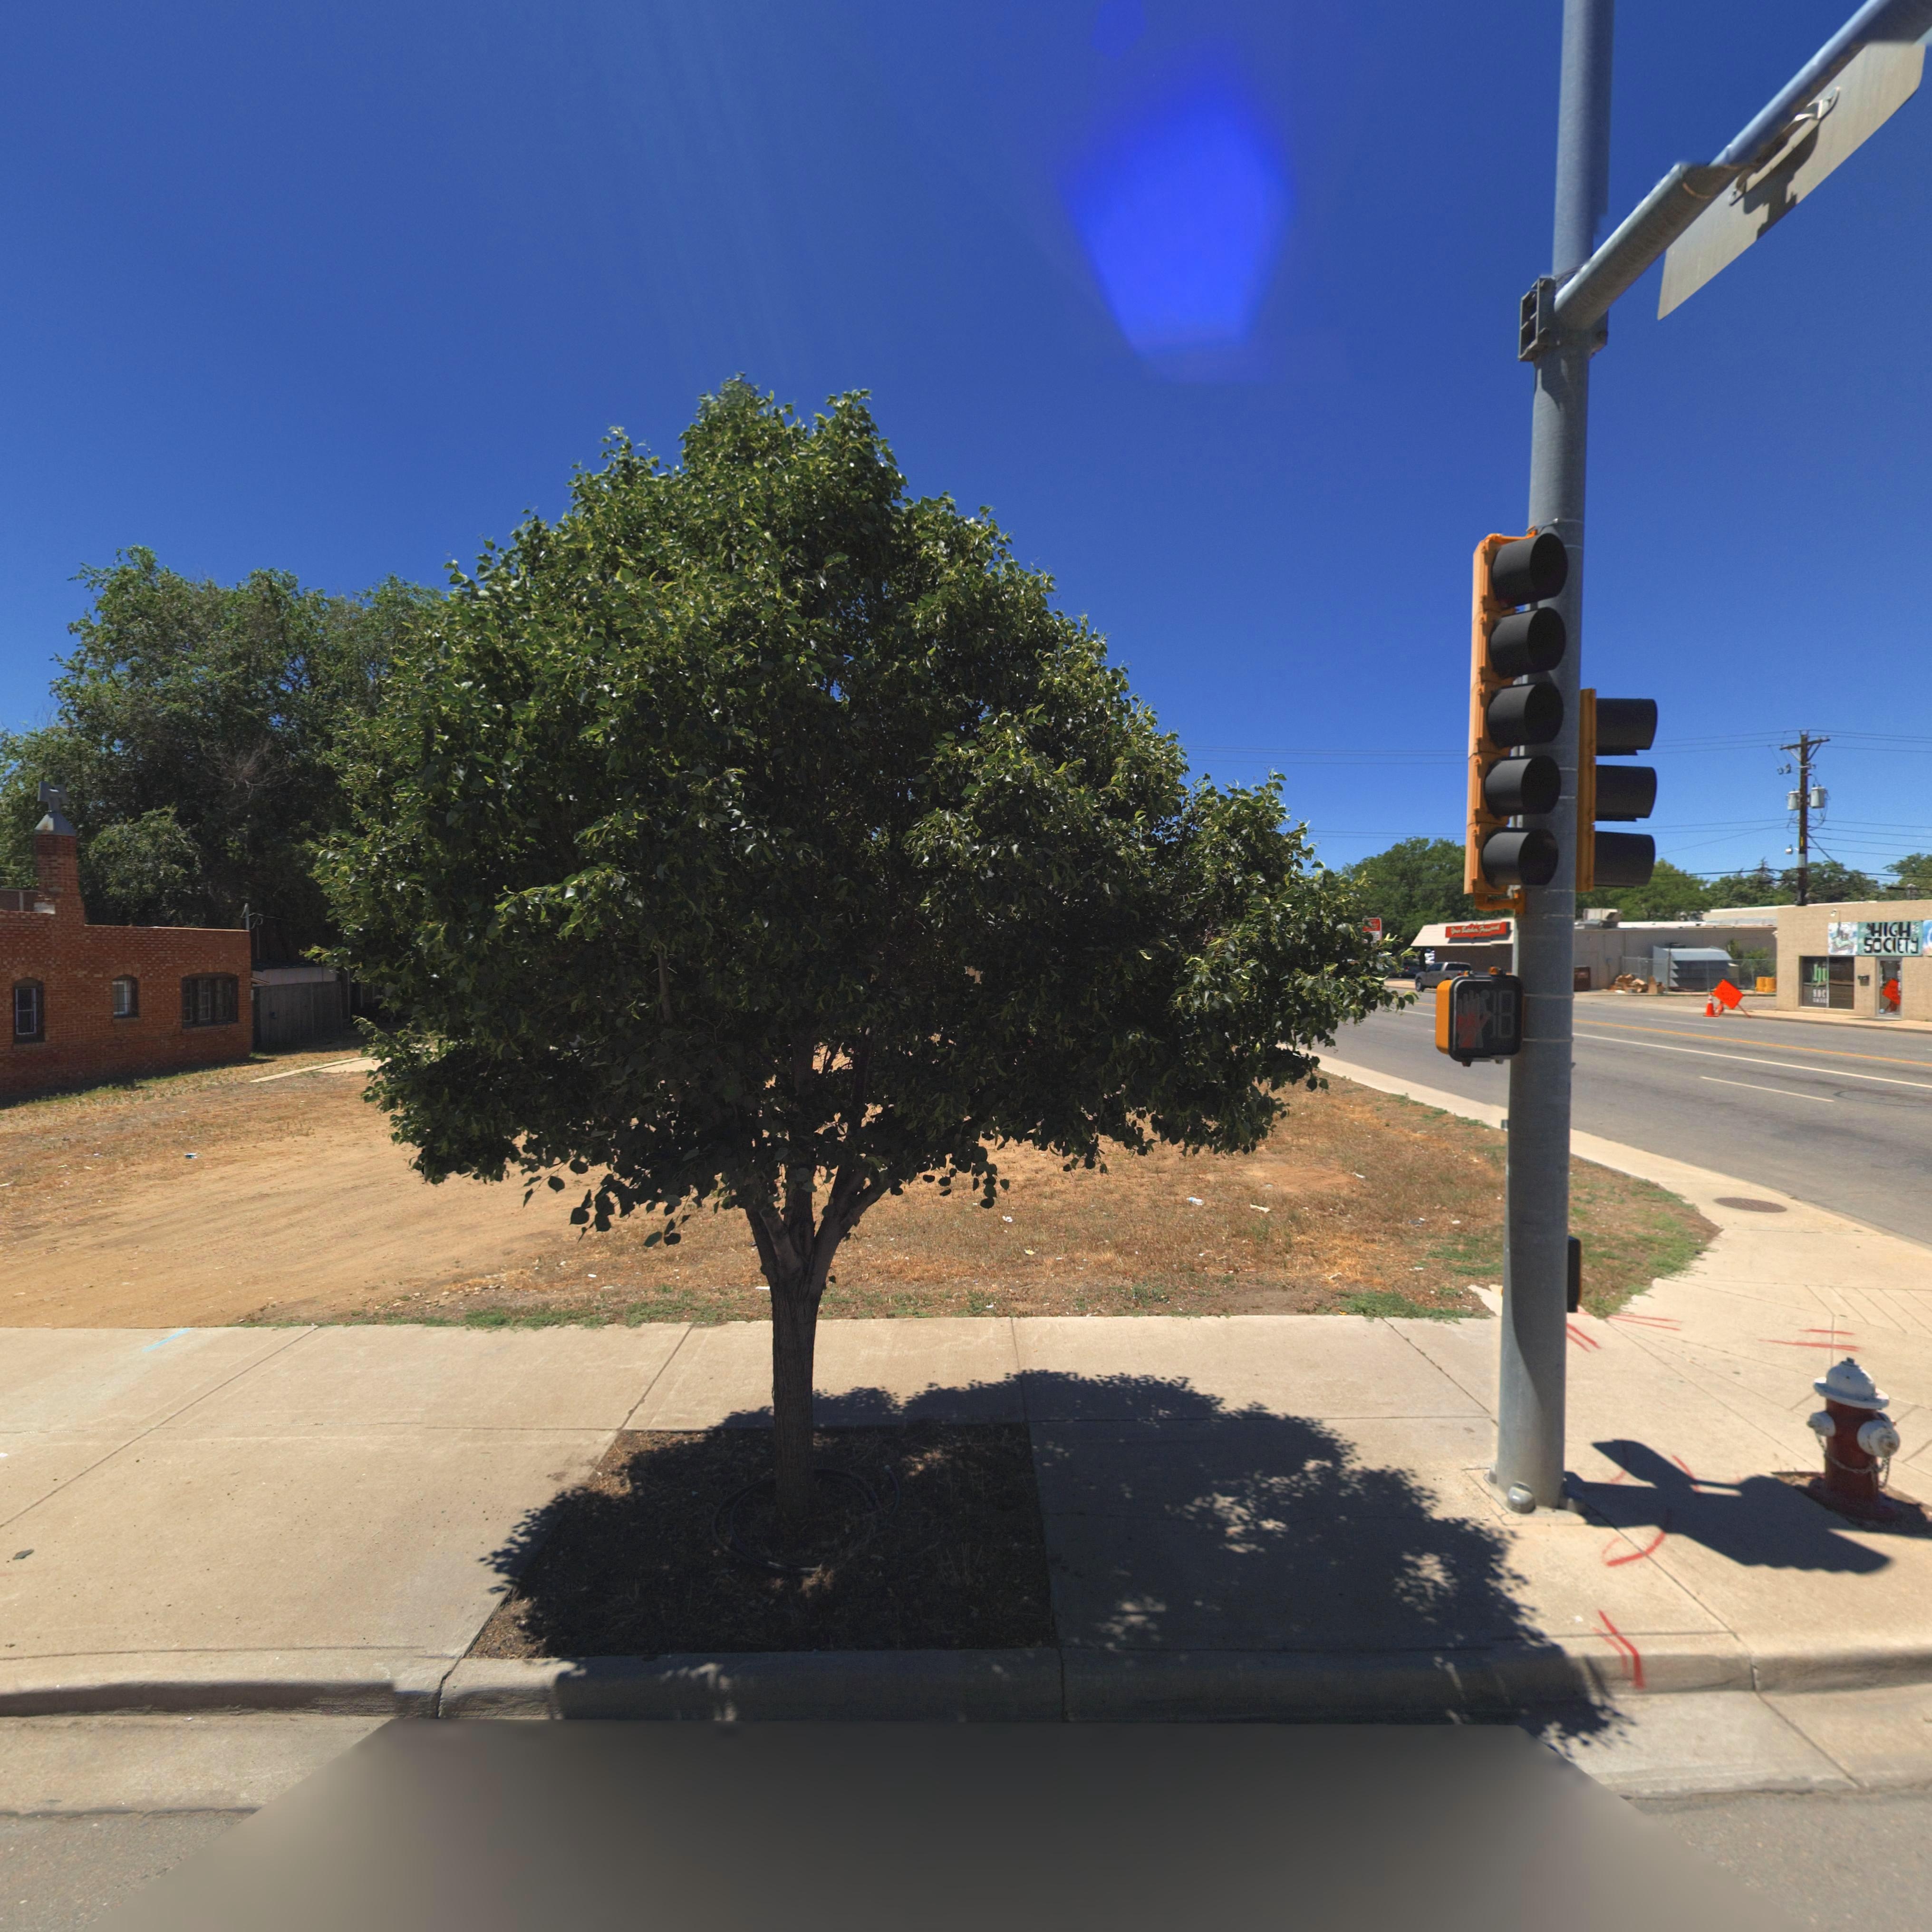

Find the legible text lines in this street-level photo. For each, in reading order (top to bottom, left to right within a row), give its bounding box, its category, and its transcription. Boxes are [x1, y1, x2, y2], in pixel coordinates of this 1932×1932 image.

[1451, 924, 1500, 935] BusinessName: Y*** B***h*r F****
[1871, 921, 1911, 937] BusinessName: HIGH
[1864, 937, 1918, 954] BusinessName: SOCIETY
[1813, 961, 1826, 986] BusinessName: hi
[1813, 988, 1826, 997] BusinessName: SOC